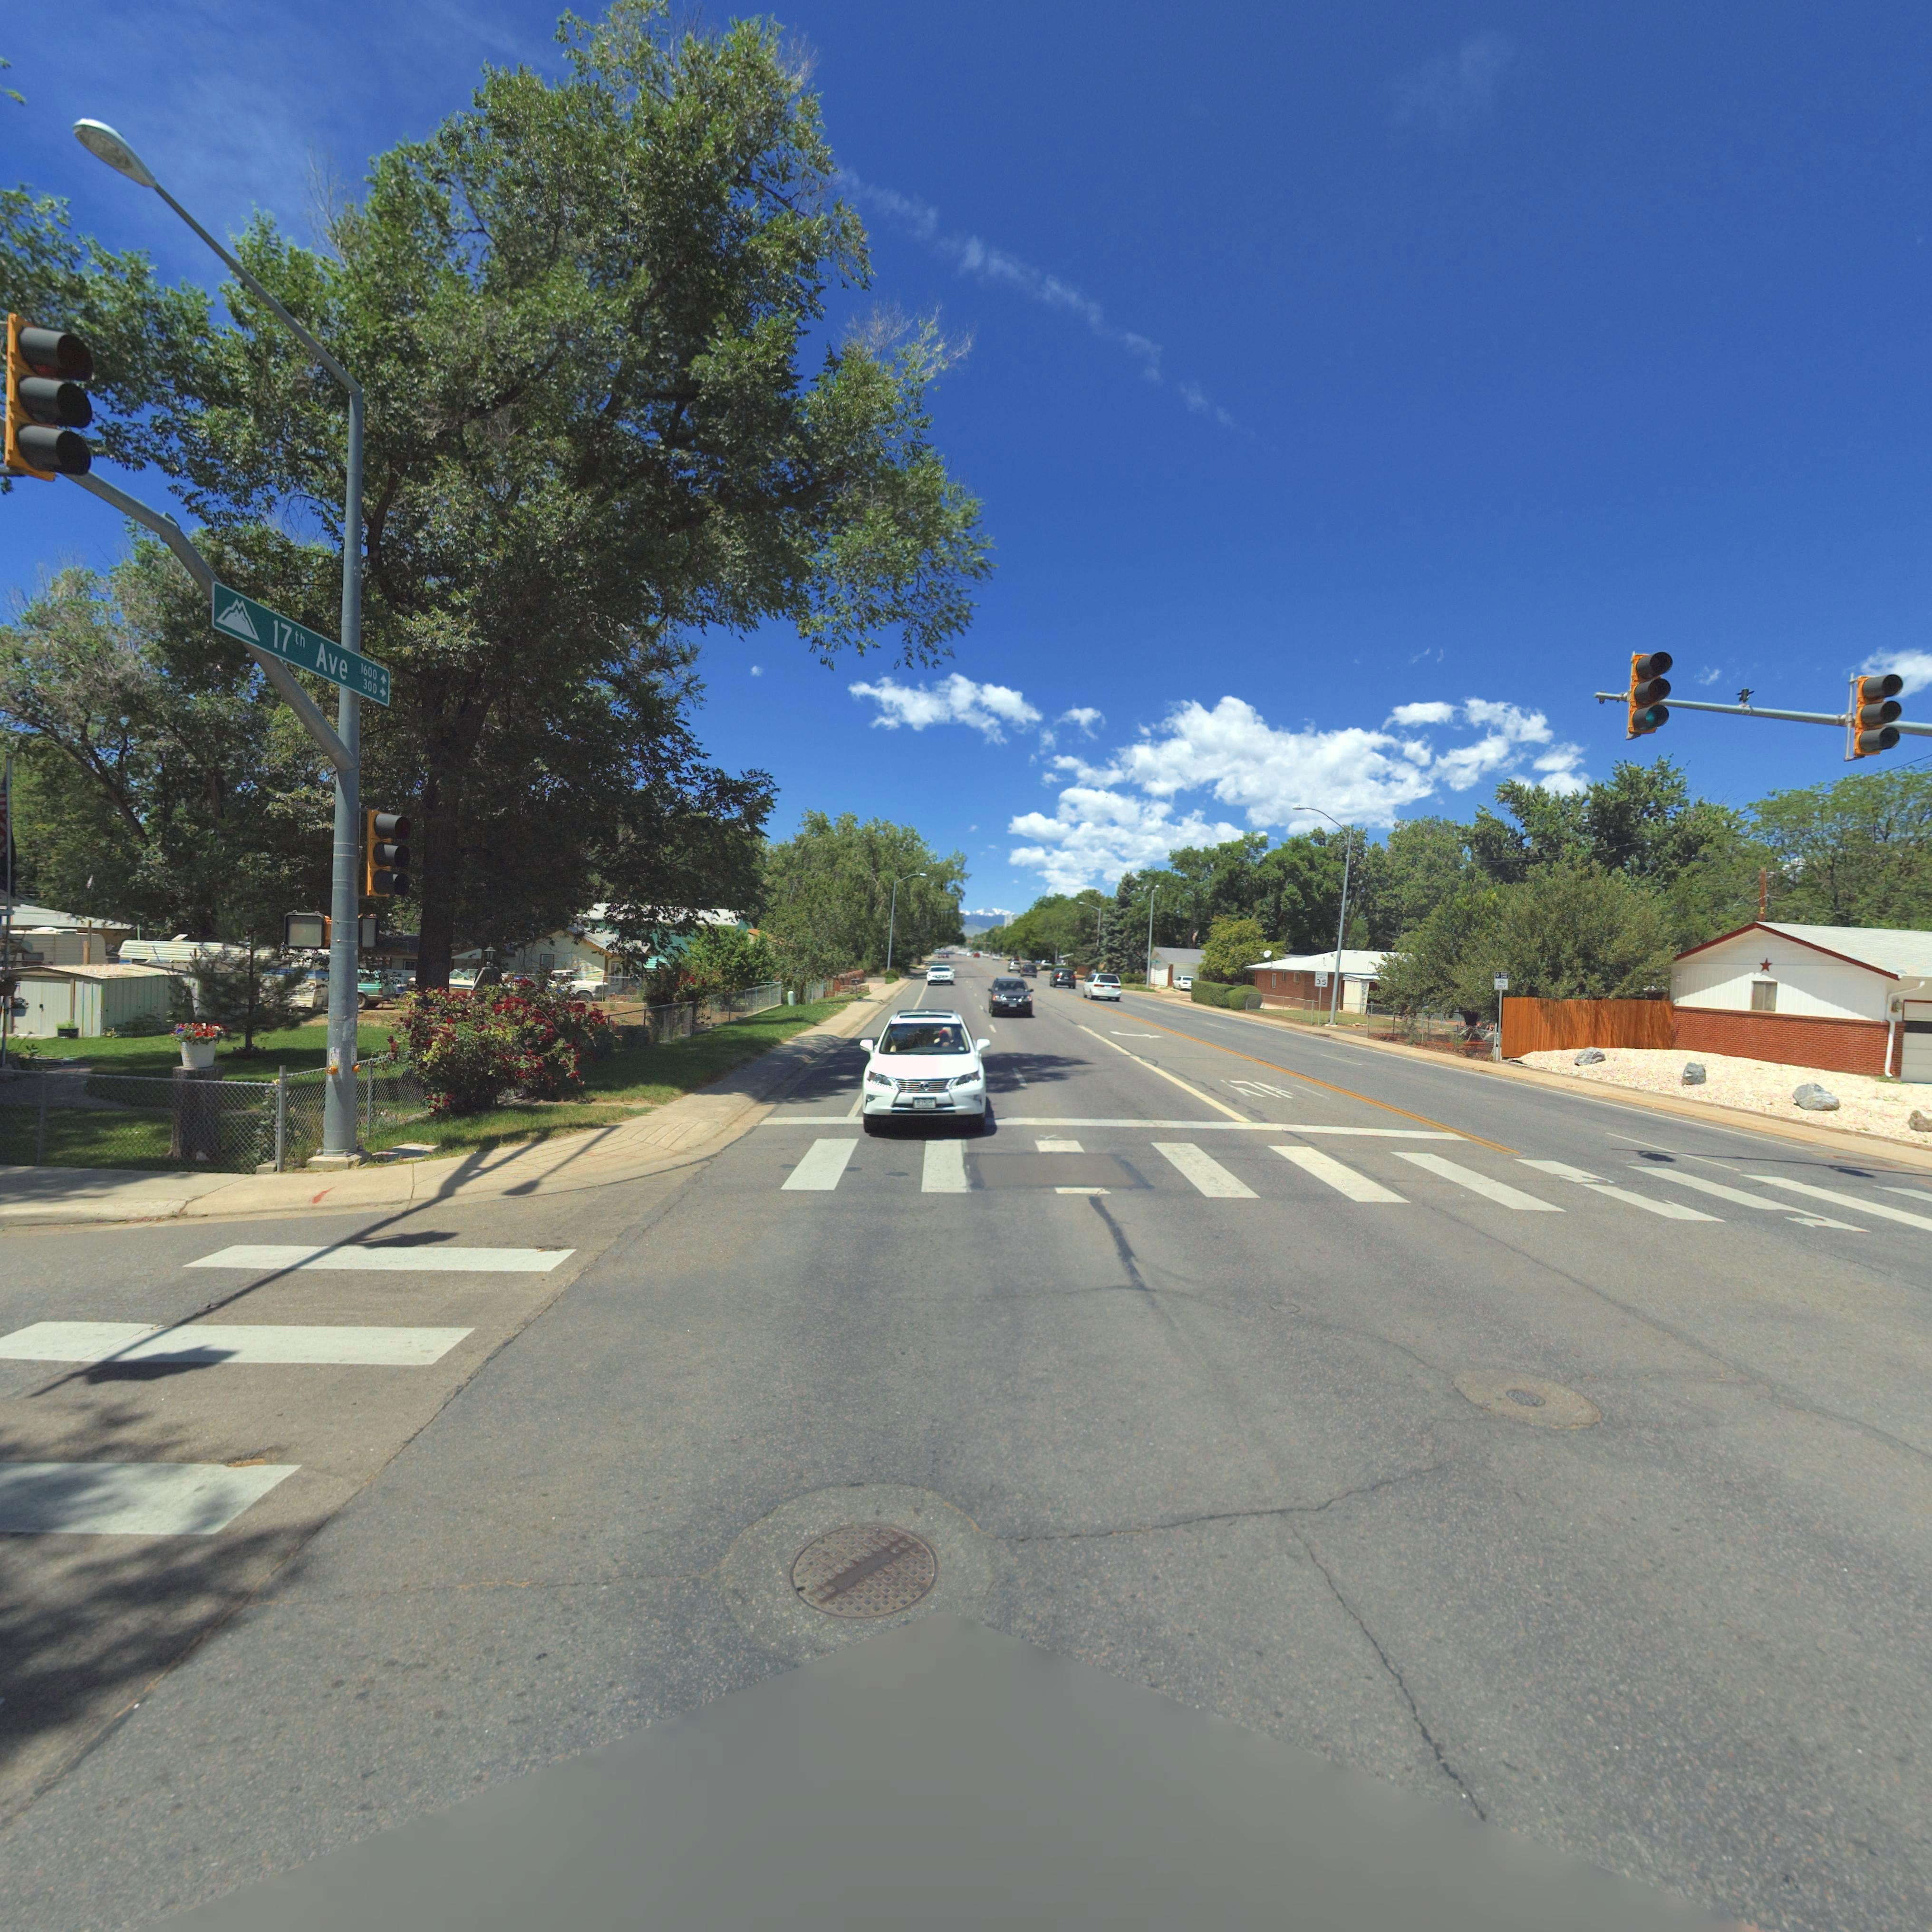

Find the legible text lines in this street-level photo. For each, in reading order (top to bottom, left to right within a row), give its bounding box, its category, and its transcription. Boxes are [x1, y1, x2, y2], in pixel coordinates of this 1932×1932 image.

[272, 618, 348, 680] StreetName: 17th Ave
[360, 662, 377, 681] StreetNumberRange: 1600
[362, 678, 387, 697] StreetNumberRange: 300->